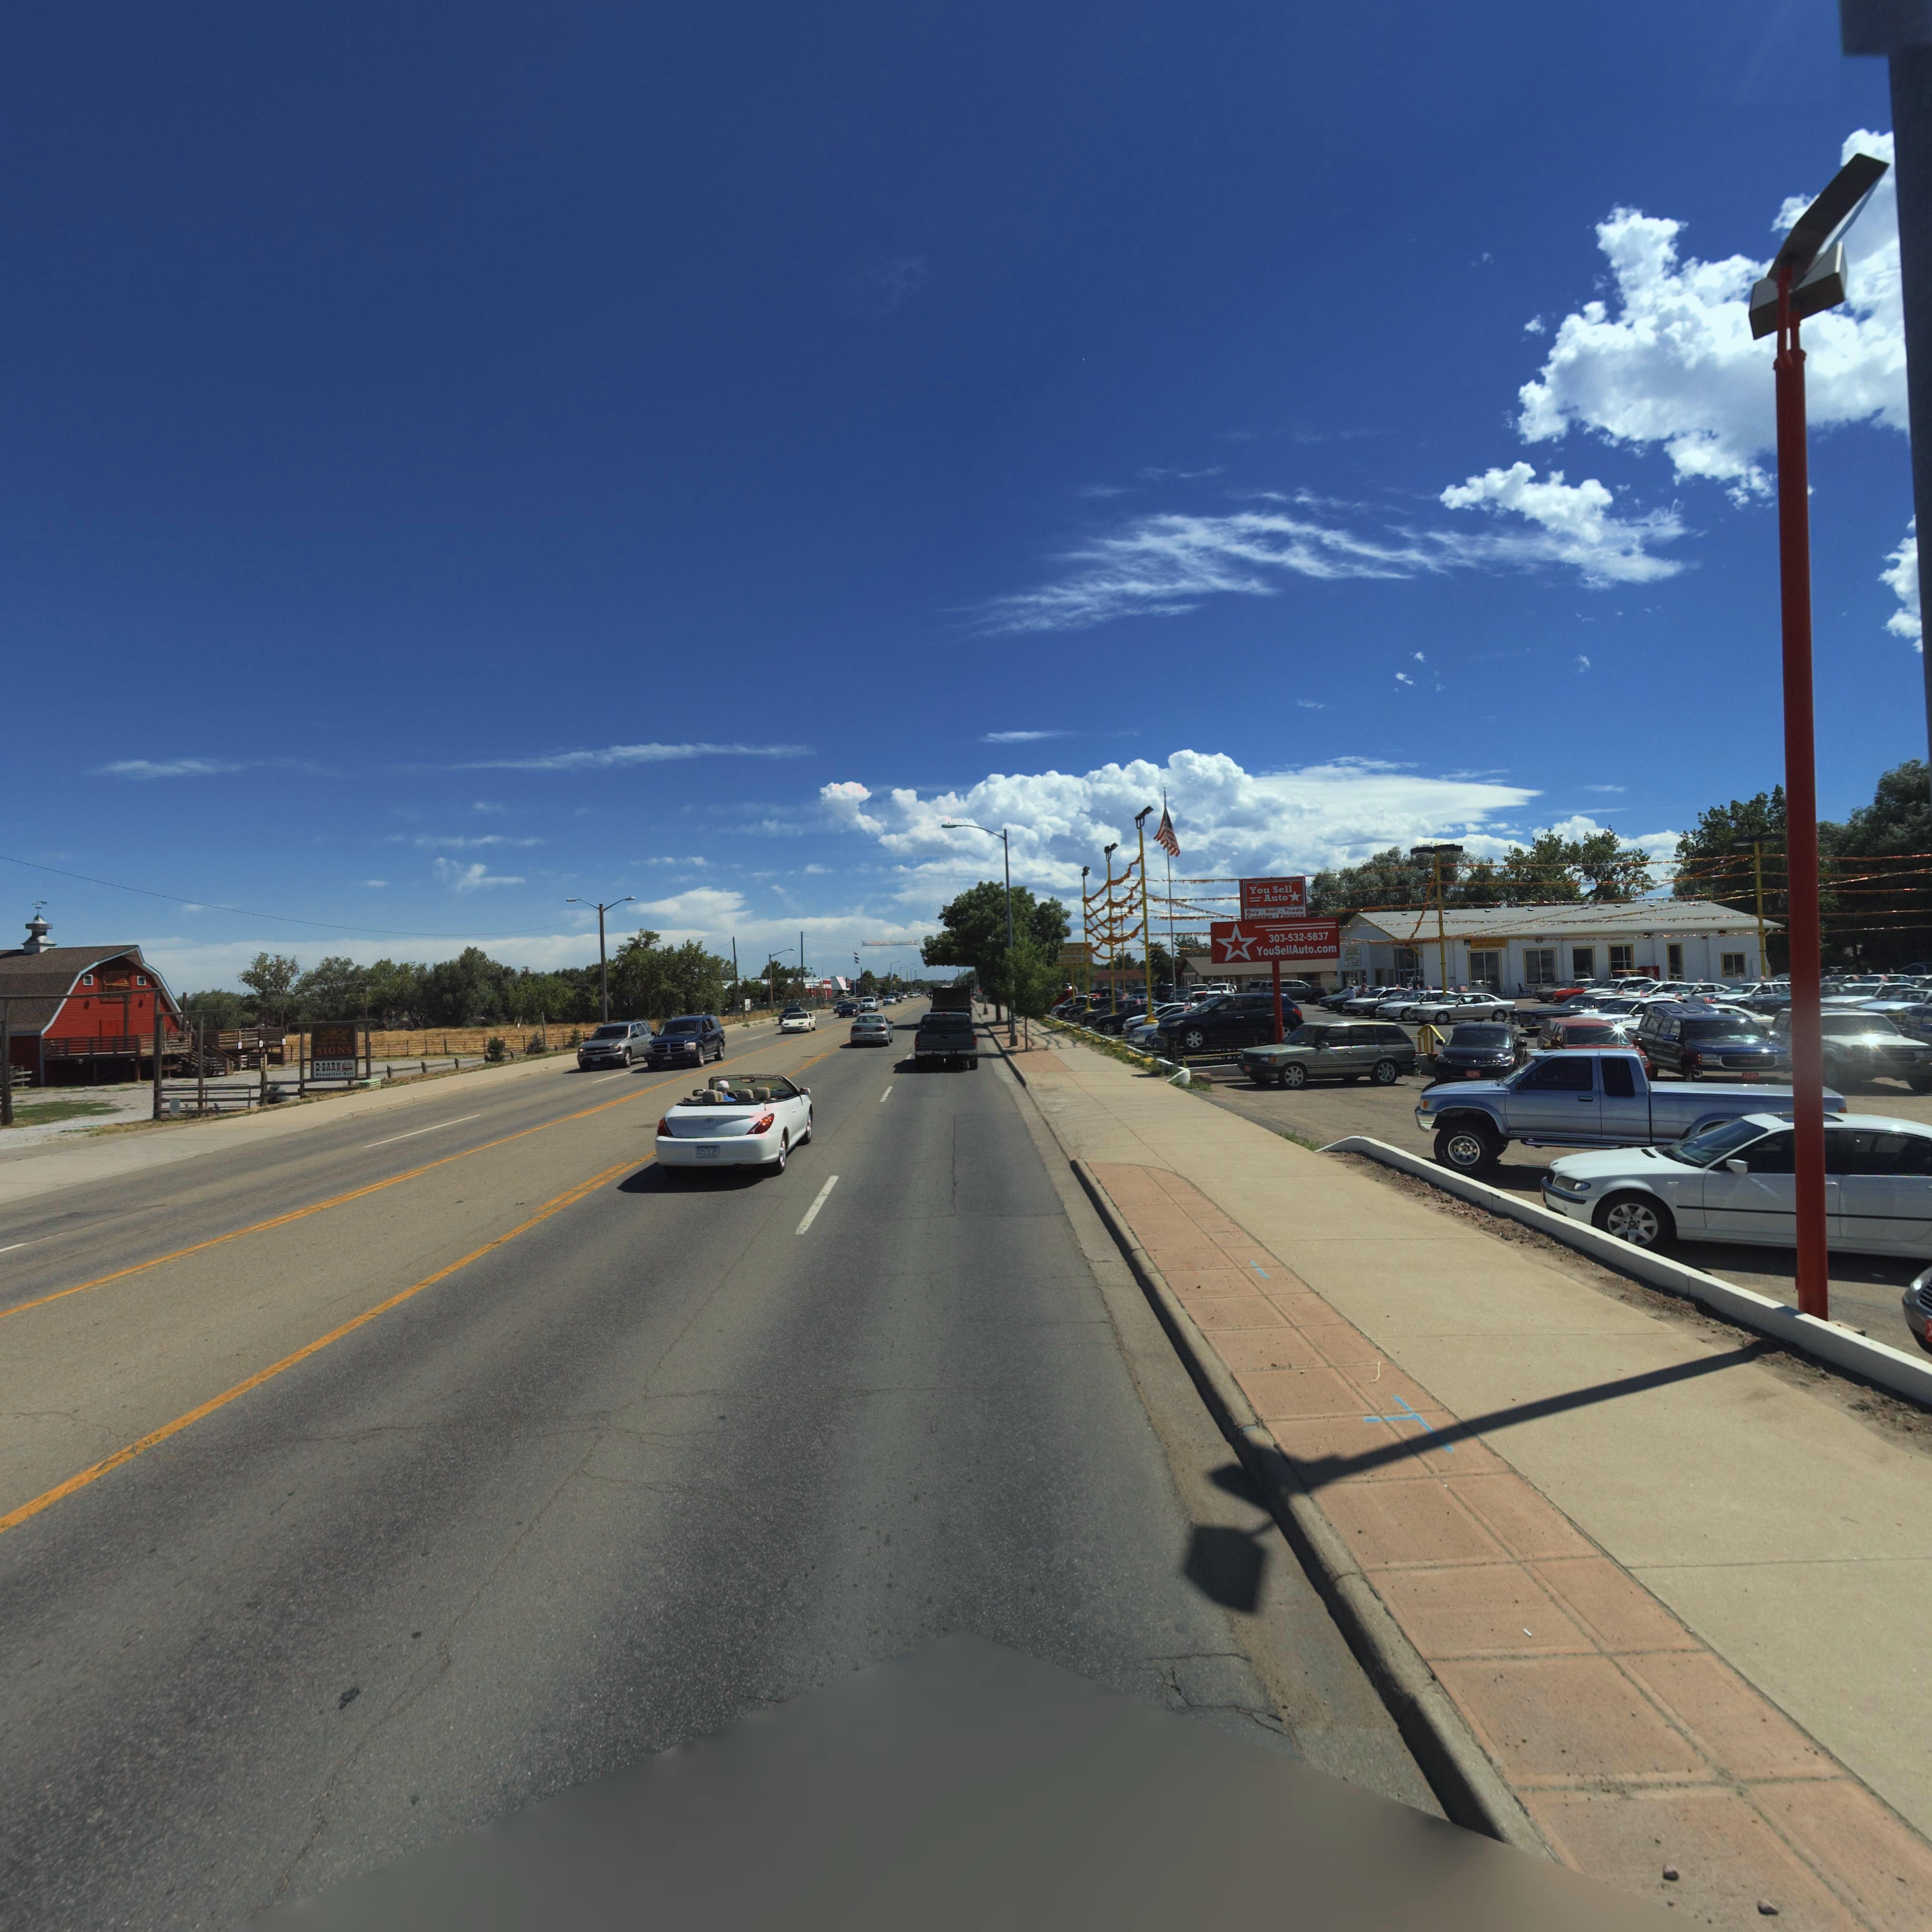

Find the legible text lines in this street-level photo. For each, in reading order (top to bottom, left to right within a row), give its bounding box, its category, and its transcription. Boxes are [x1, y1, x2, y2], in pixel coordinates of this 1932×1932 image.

[1248, 885, 1293, 894] BusinessName: You Sell
[1264, 894, 1288, 901] BusinessName: Auto
[1061, 947, 1083, 956] BusinessName: SSE
[1345, 947, 1359, 955] BusinessName: ESSEX
[1064, 956, 1082, 963] BusinessName: TORS
[316, 1045, 352, 1055] BusinessName: SIGNS
[315, 1062, 341, 1072] BusinessName: D*BARN
[315, 1071, 354, 1076] BusinessName: **cepti** Hall